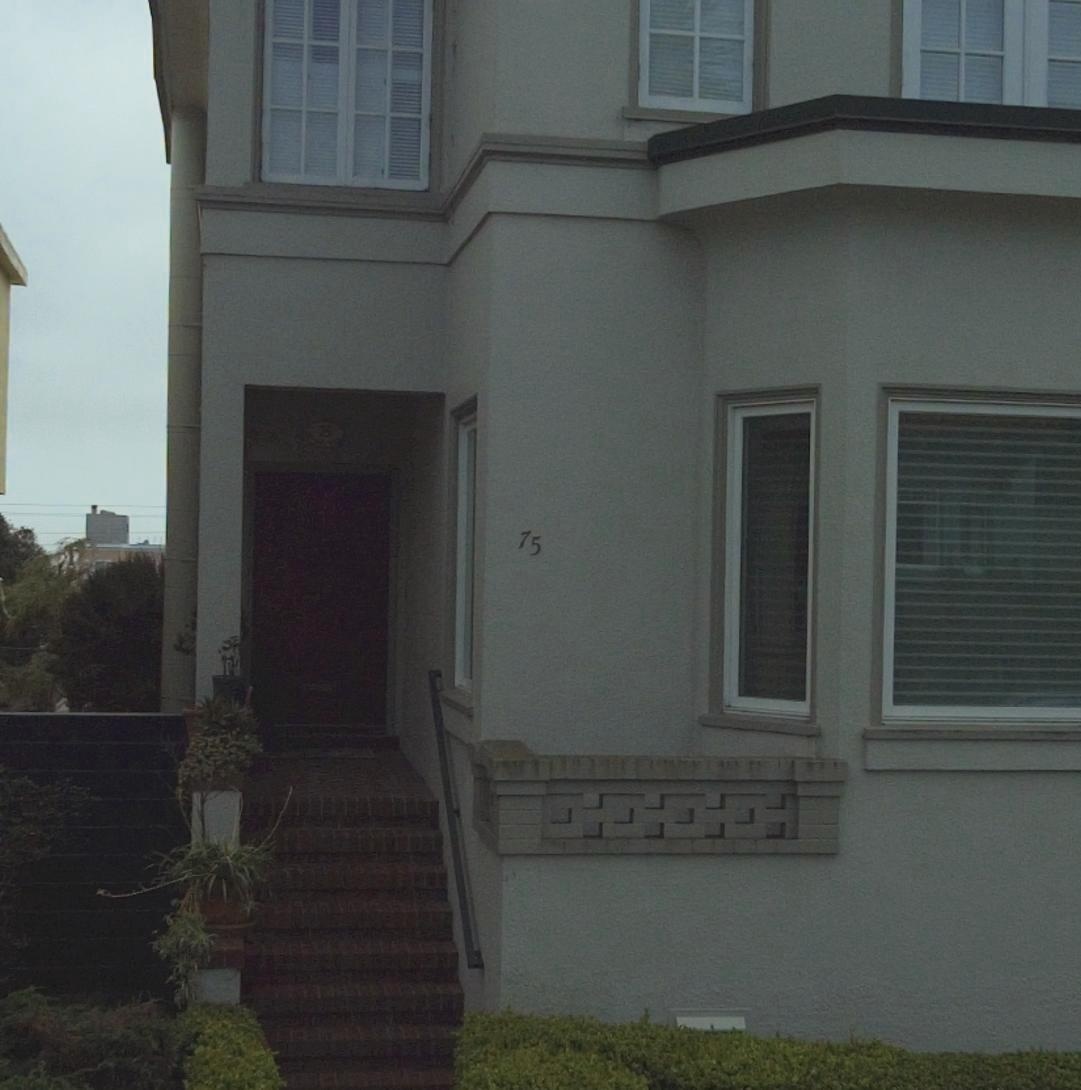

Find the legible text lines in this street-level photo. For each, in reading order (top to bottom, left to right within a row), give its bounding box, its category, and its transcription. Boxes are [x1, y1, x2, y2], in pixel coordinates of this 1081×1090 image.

[517, 529, 543, 557] StreetNumber: 75